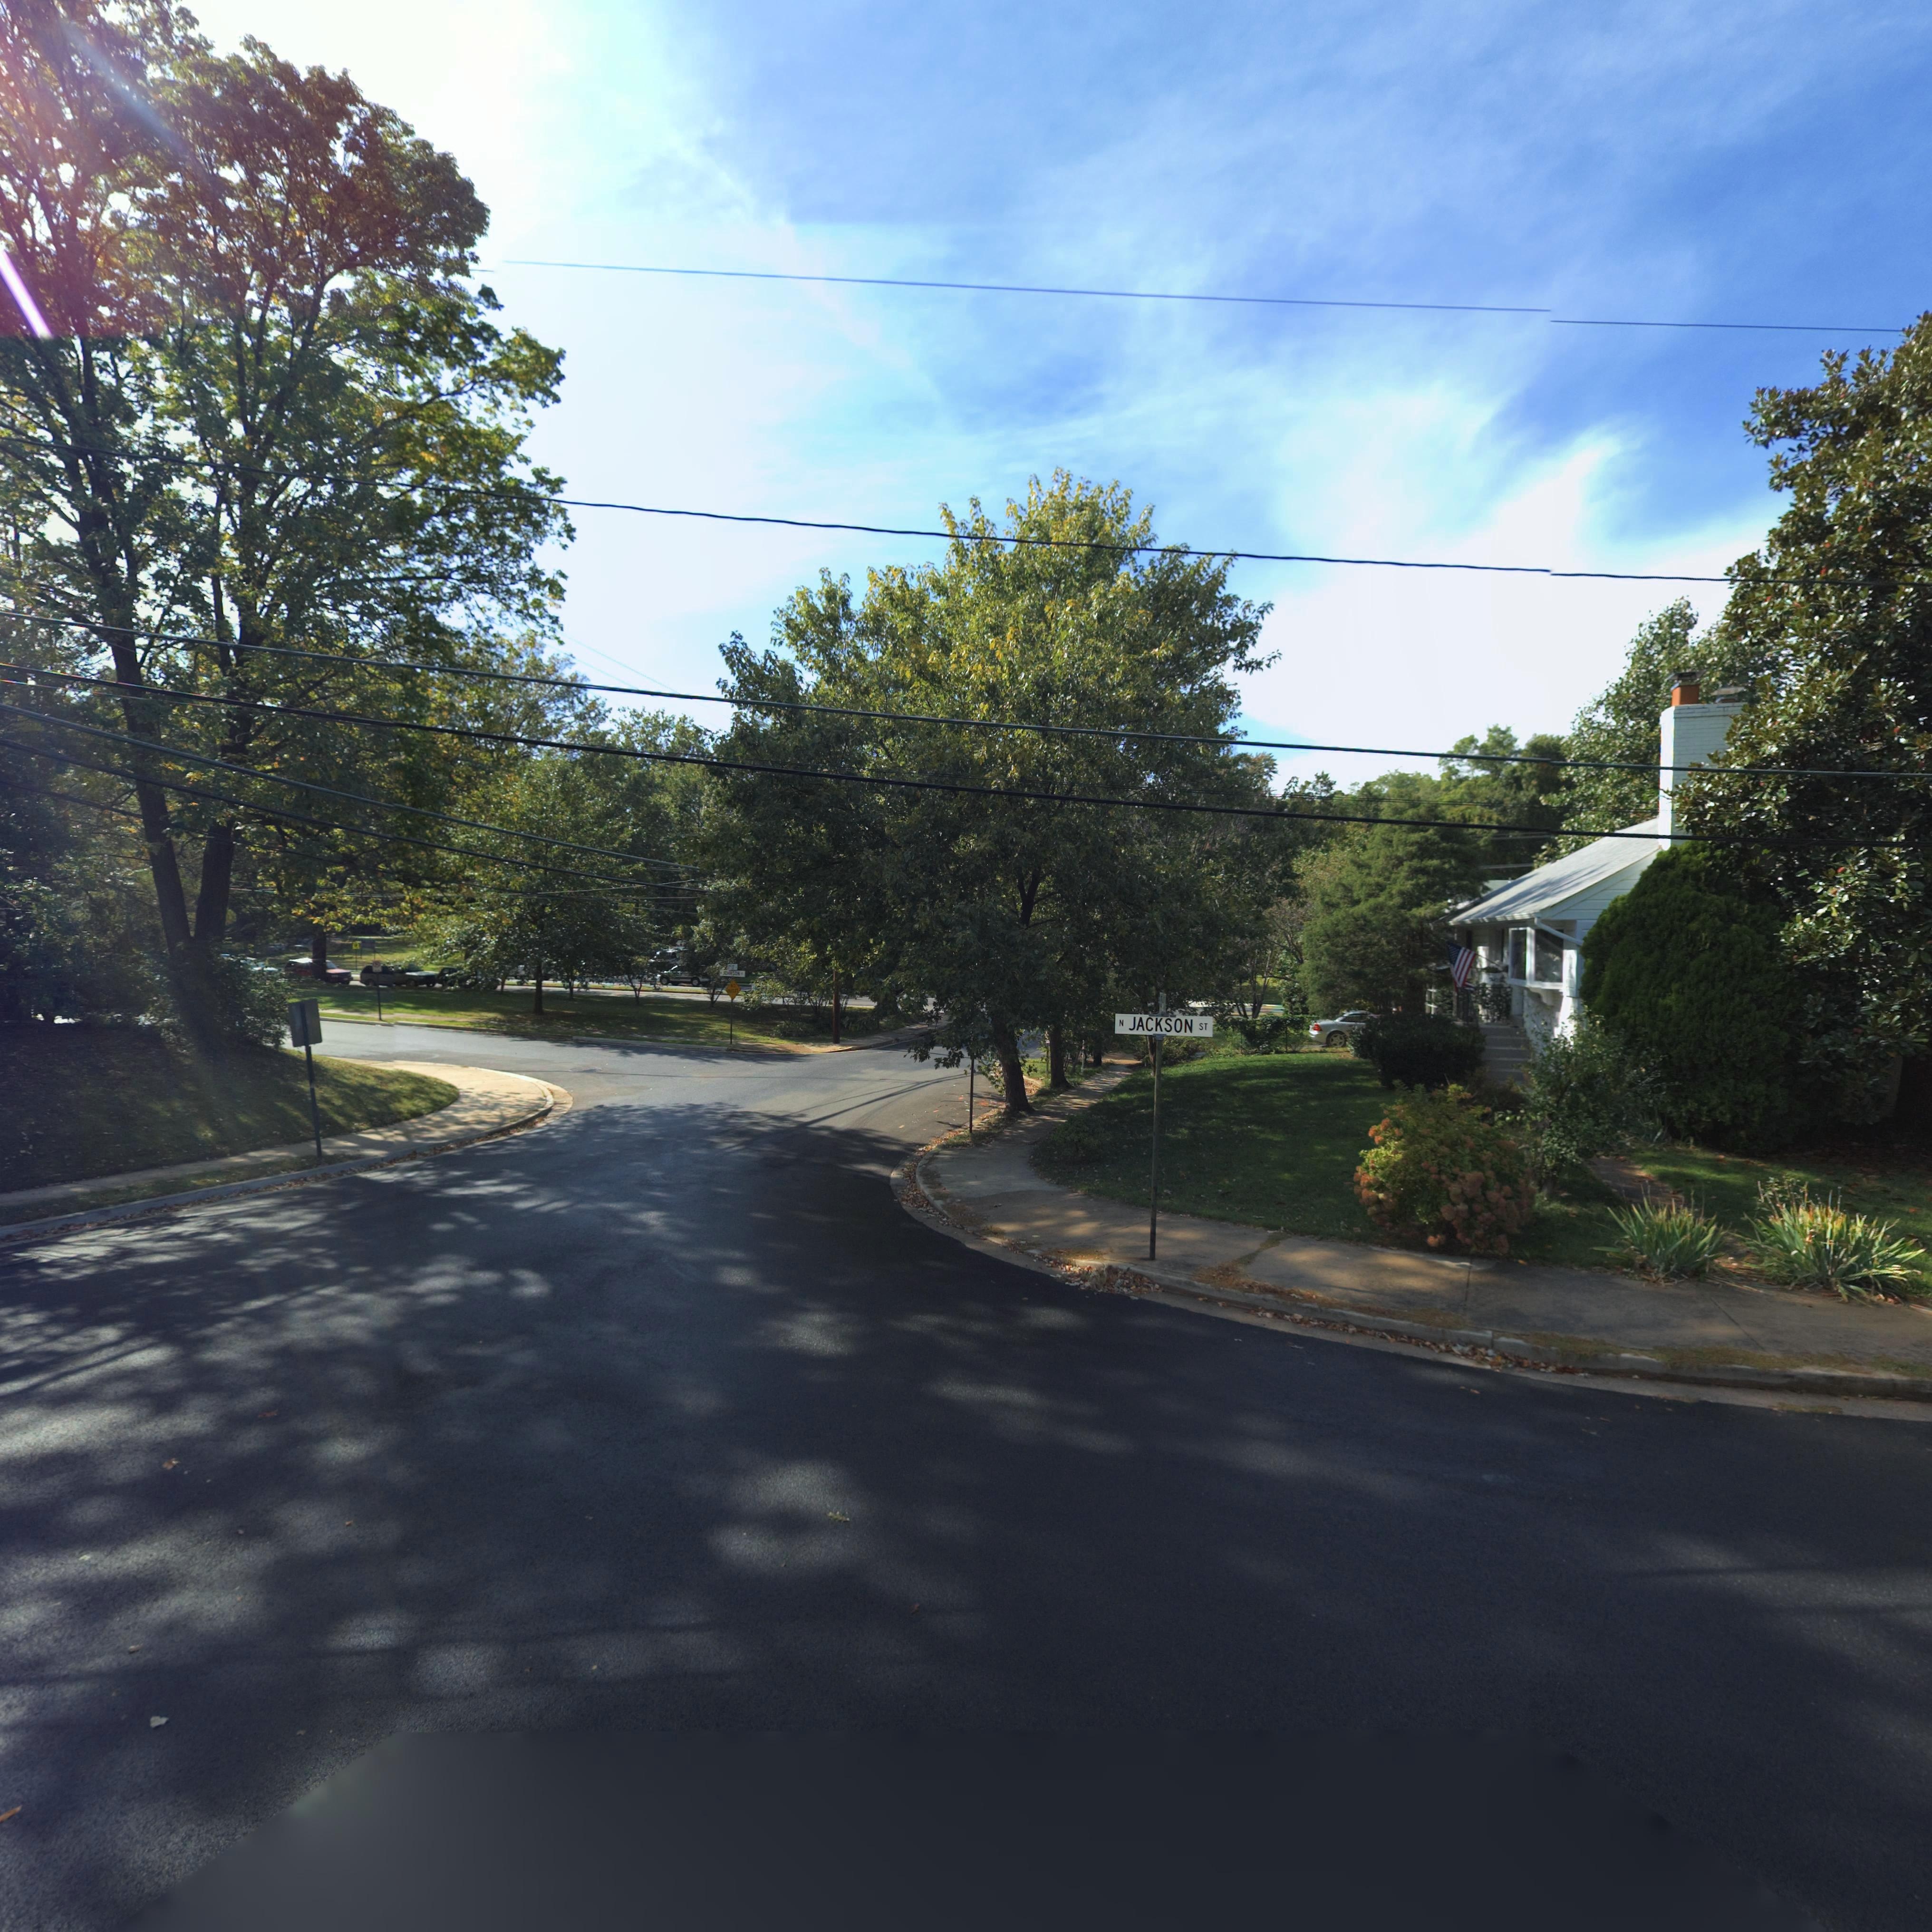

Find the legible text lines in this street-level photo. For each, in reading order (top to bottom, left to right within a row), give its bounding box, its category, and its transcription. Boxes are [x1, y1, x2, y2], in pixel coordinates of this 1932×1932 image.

[1117, 1014, 1209, 1035] StreetName: N JACKSON ST